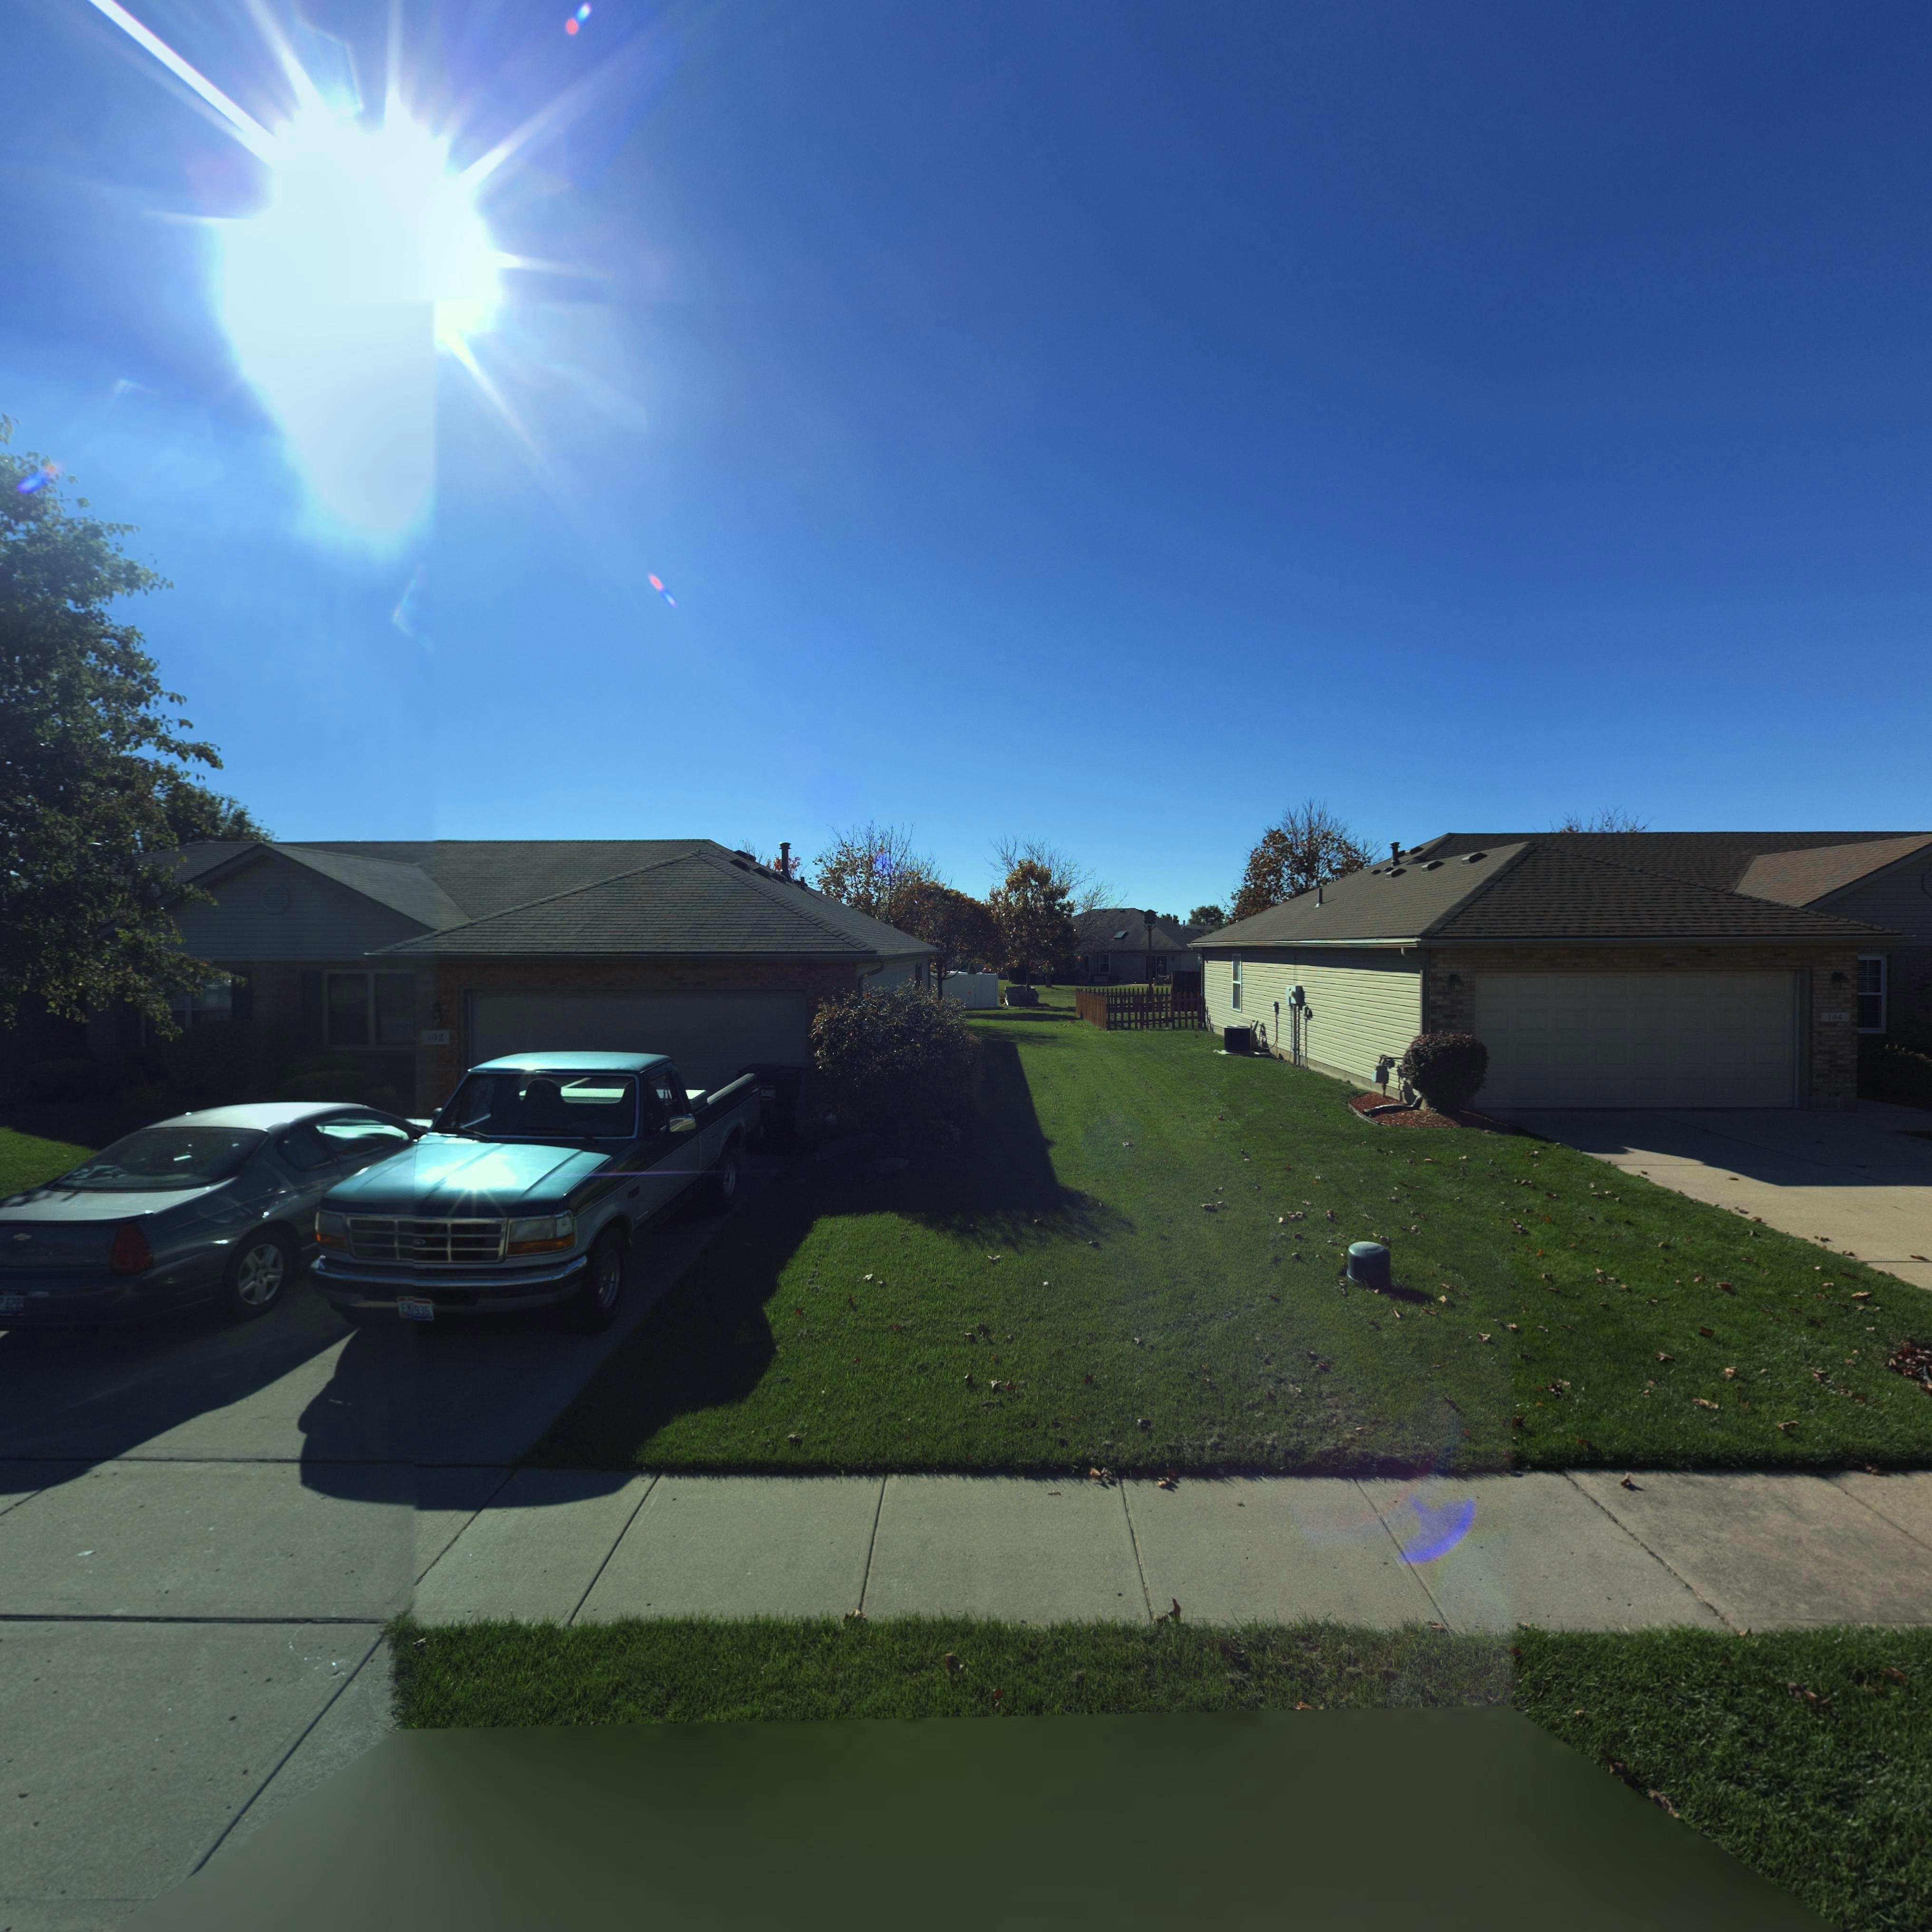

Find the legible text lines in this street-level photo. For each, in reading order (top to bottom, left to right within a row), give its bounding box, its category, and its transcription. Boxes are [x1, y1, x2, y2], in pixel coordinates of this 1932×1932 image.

[1828, 1013, 1842, 1021] StreetNumber: 104
[426, 1033, 445, 1042] StreetNumber: 102
[399, 1300, 431, 1317] None: **936